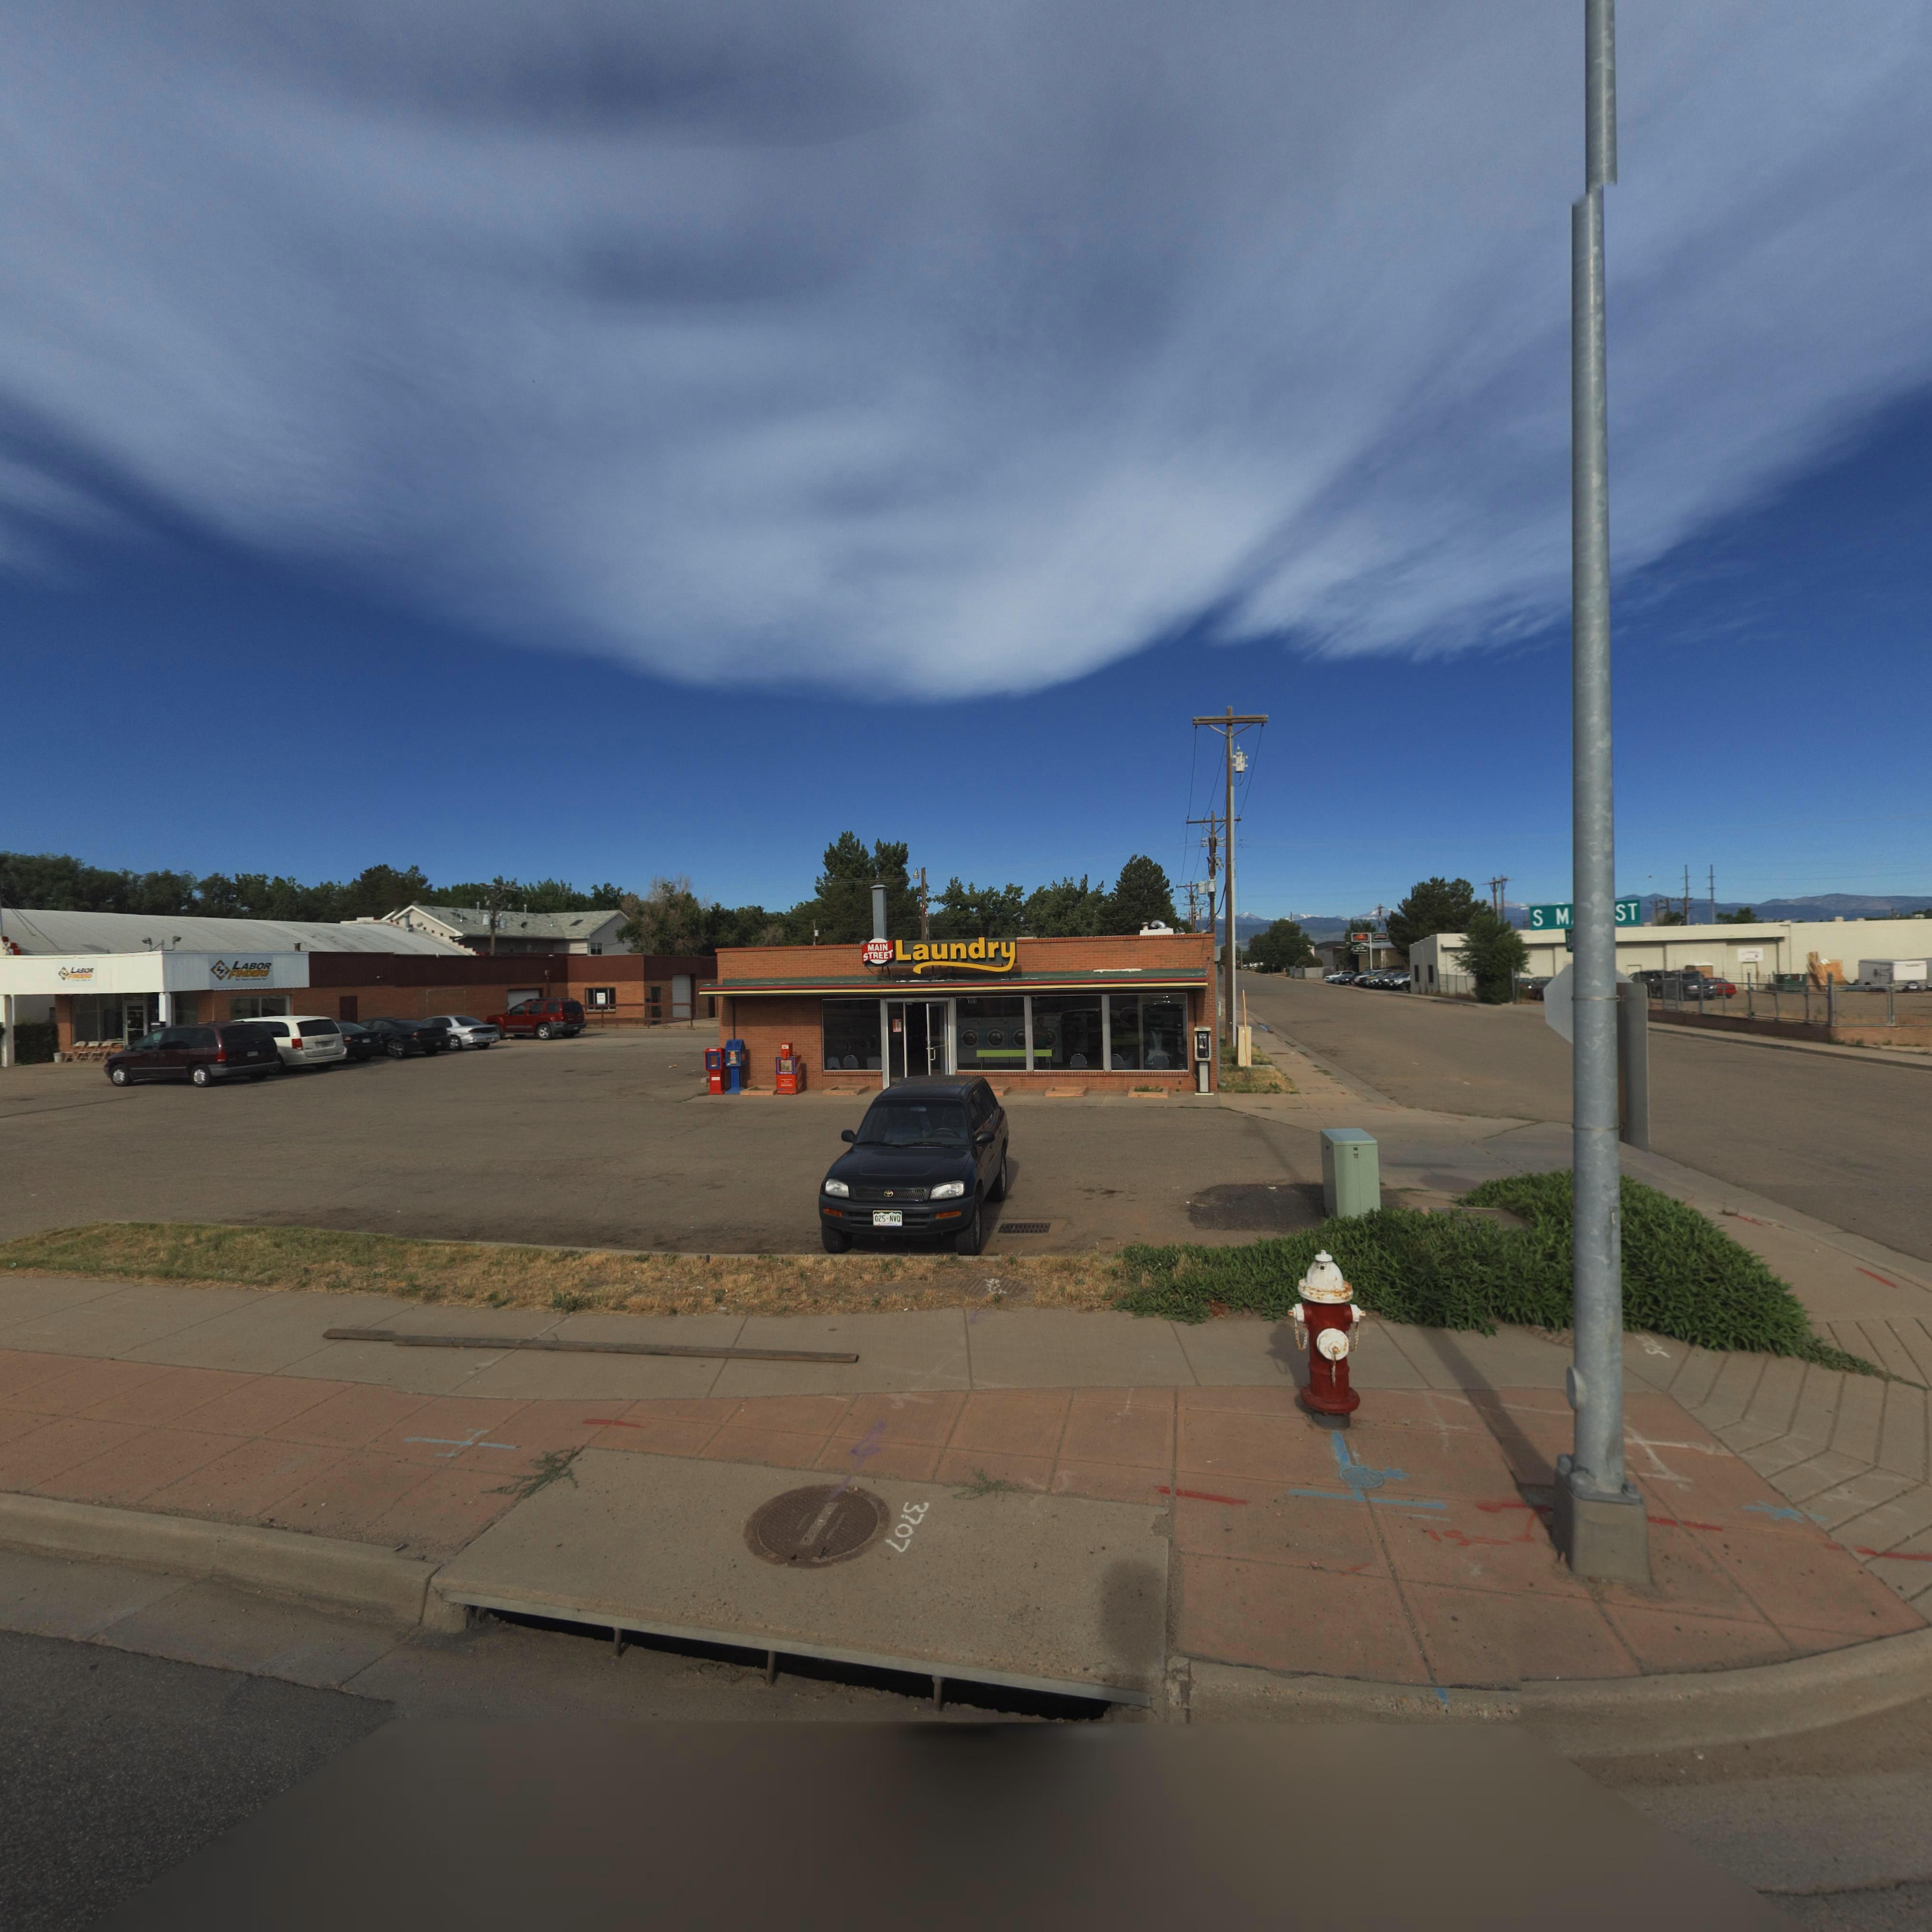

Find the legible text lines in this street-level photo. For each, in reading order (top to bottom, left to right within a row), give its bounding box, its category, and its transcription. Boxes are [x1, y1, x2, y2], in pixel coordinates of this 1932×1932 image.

[1532, 902, 1638, 926] StreetName: S M*** ST
[1566, 933, 1571, 948] StreetName: B
[868, 943, 888, 951] BusinessName: MAIN
[863, 949, 893, 961] BusinessName: STREET
[895, 937, 1016, 965] BusinessName: Laundry
[70, 966, 94, 973] BusinessName: LA*O*
[226, 969, 270, 980] BusinessName: FINDERS
[231, 960, 272, 969] BusinessName: LABOR
[968, 997, 976, 1003] StreetNumber: 101